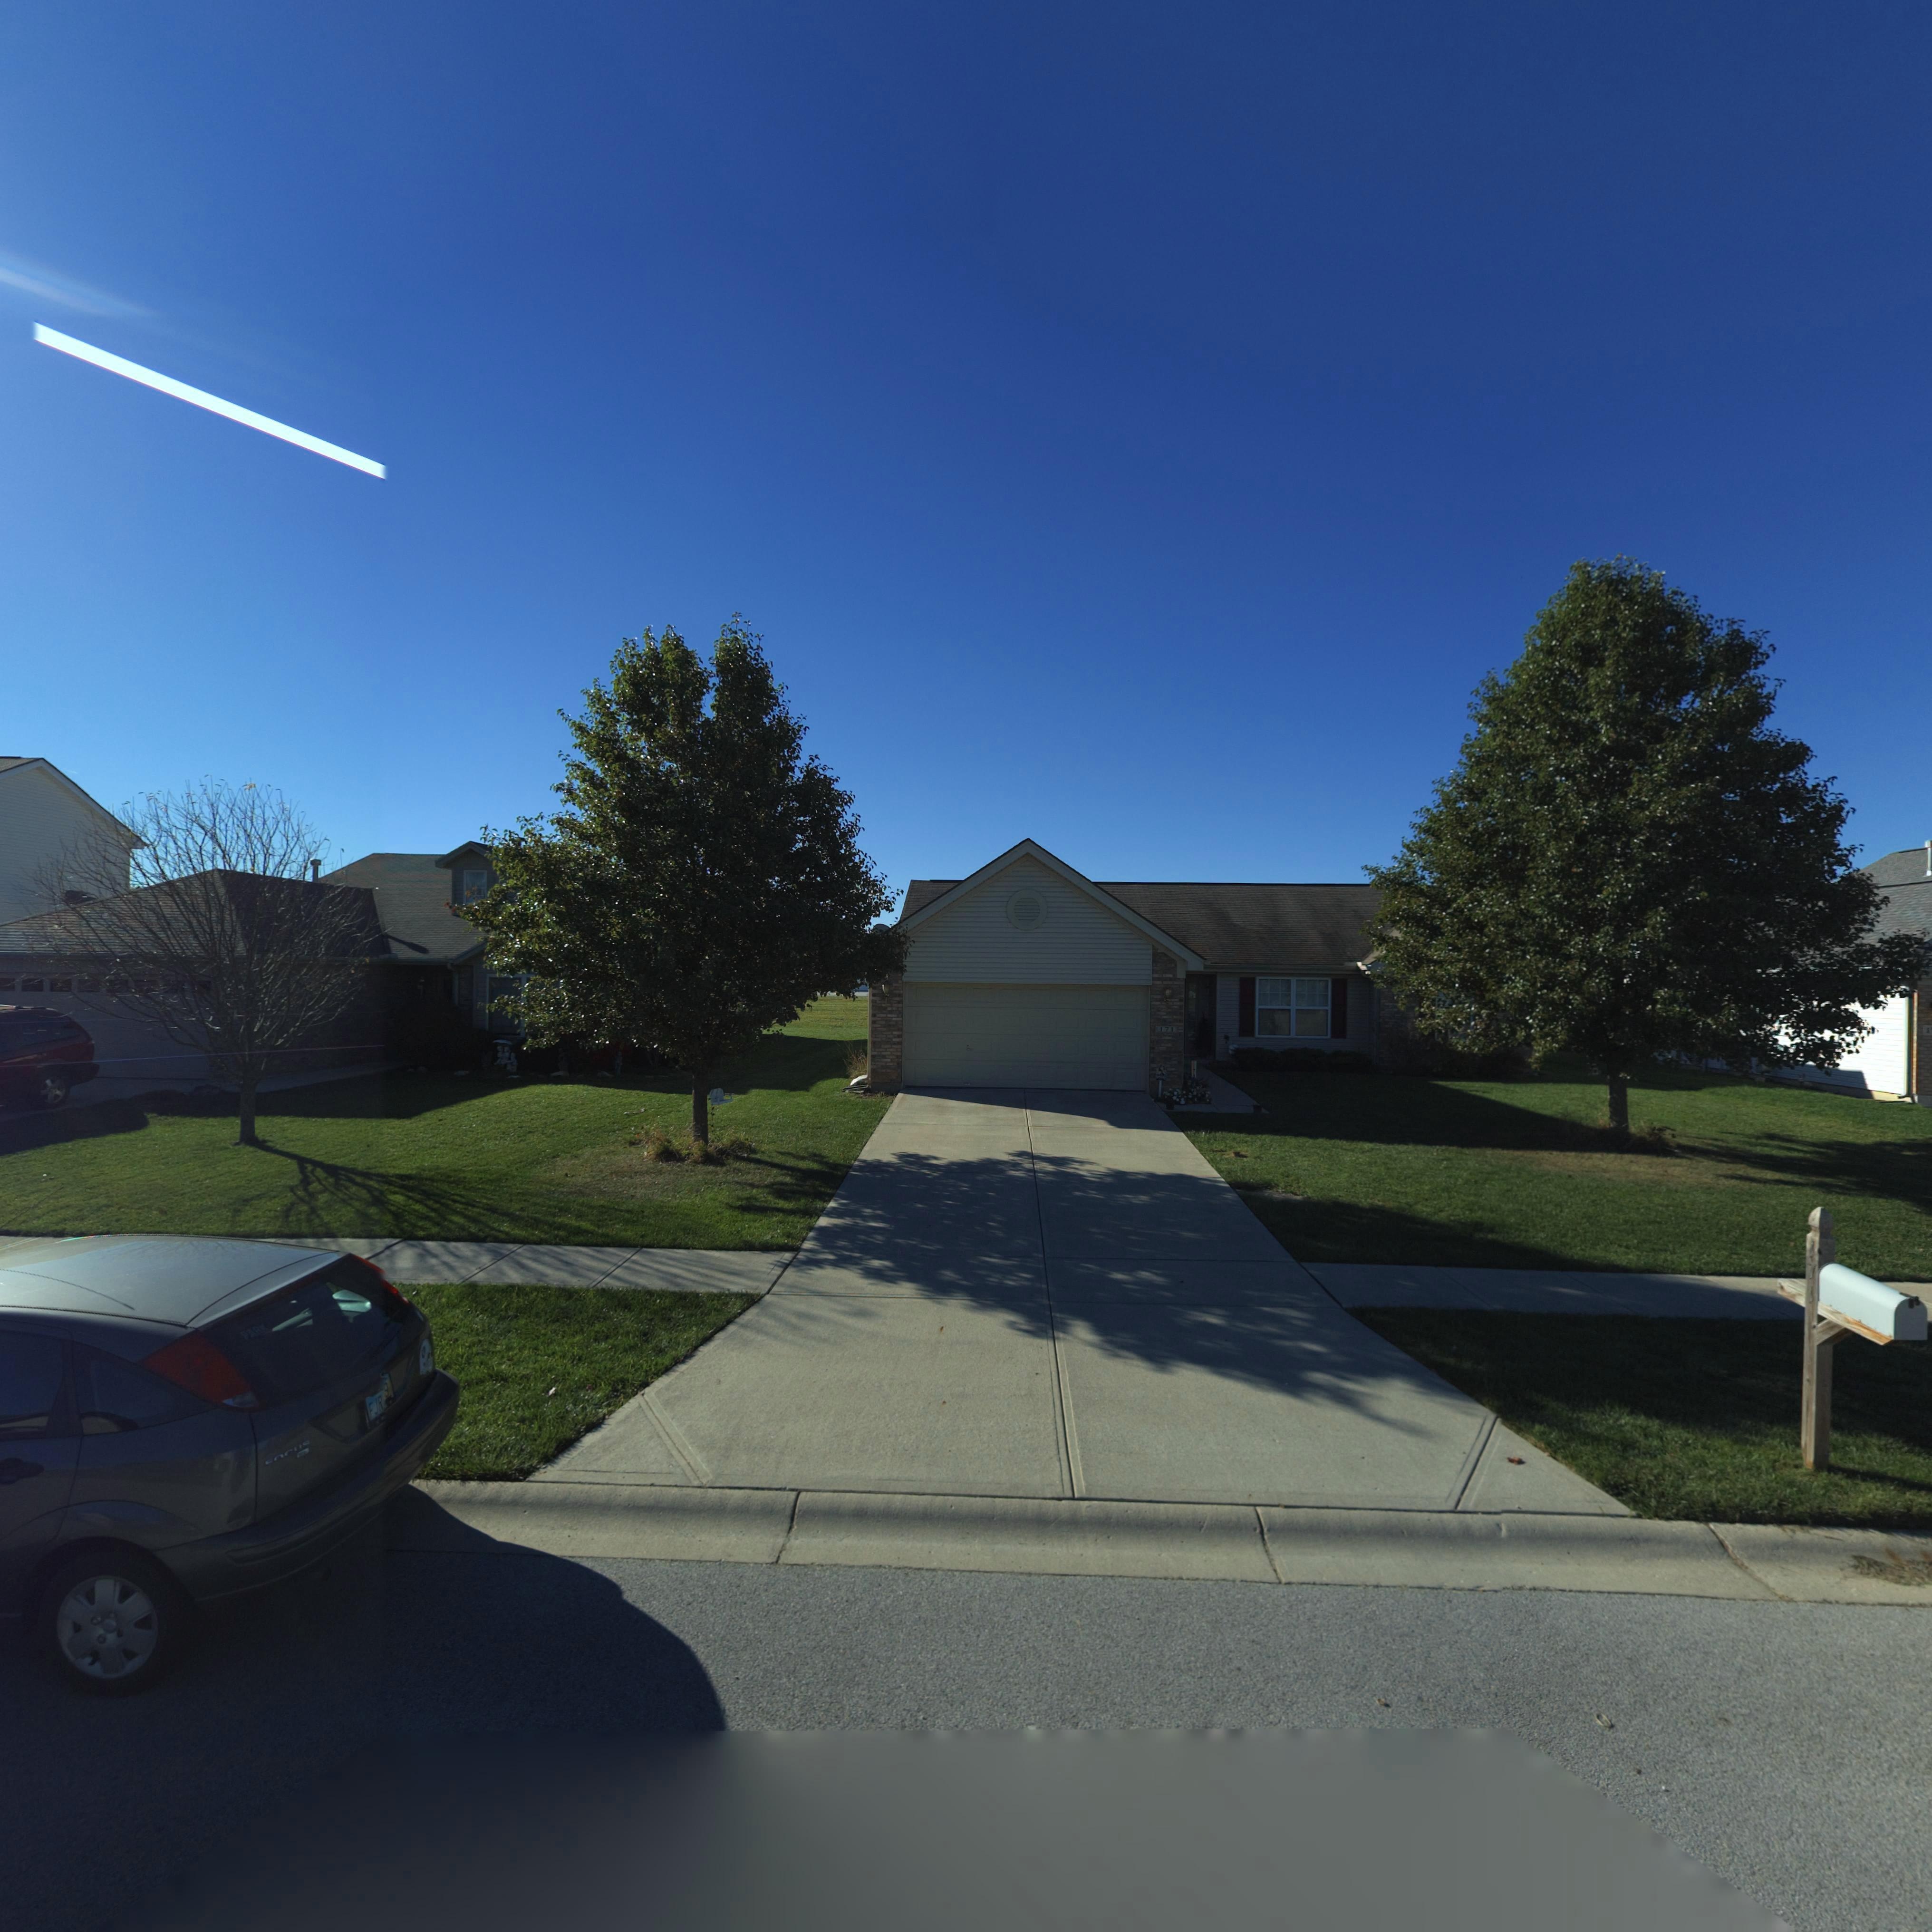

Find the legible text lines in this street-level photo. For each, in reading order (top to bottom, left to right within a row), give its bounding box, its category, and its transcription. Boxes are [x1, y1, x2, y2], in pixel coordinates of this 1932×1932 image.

[1159, 1026, 1174, 1032] StreetNumber: 171